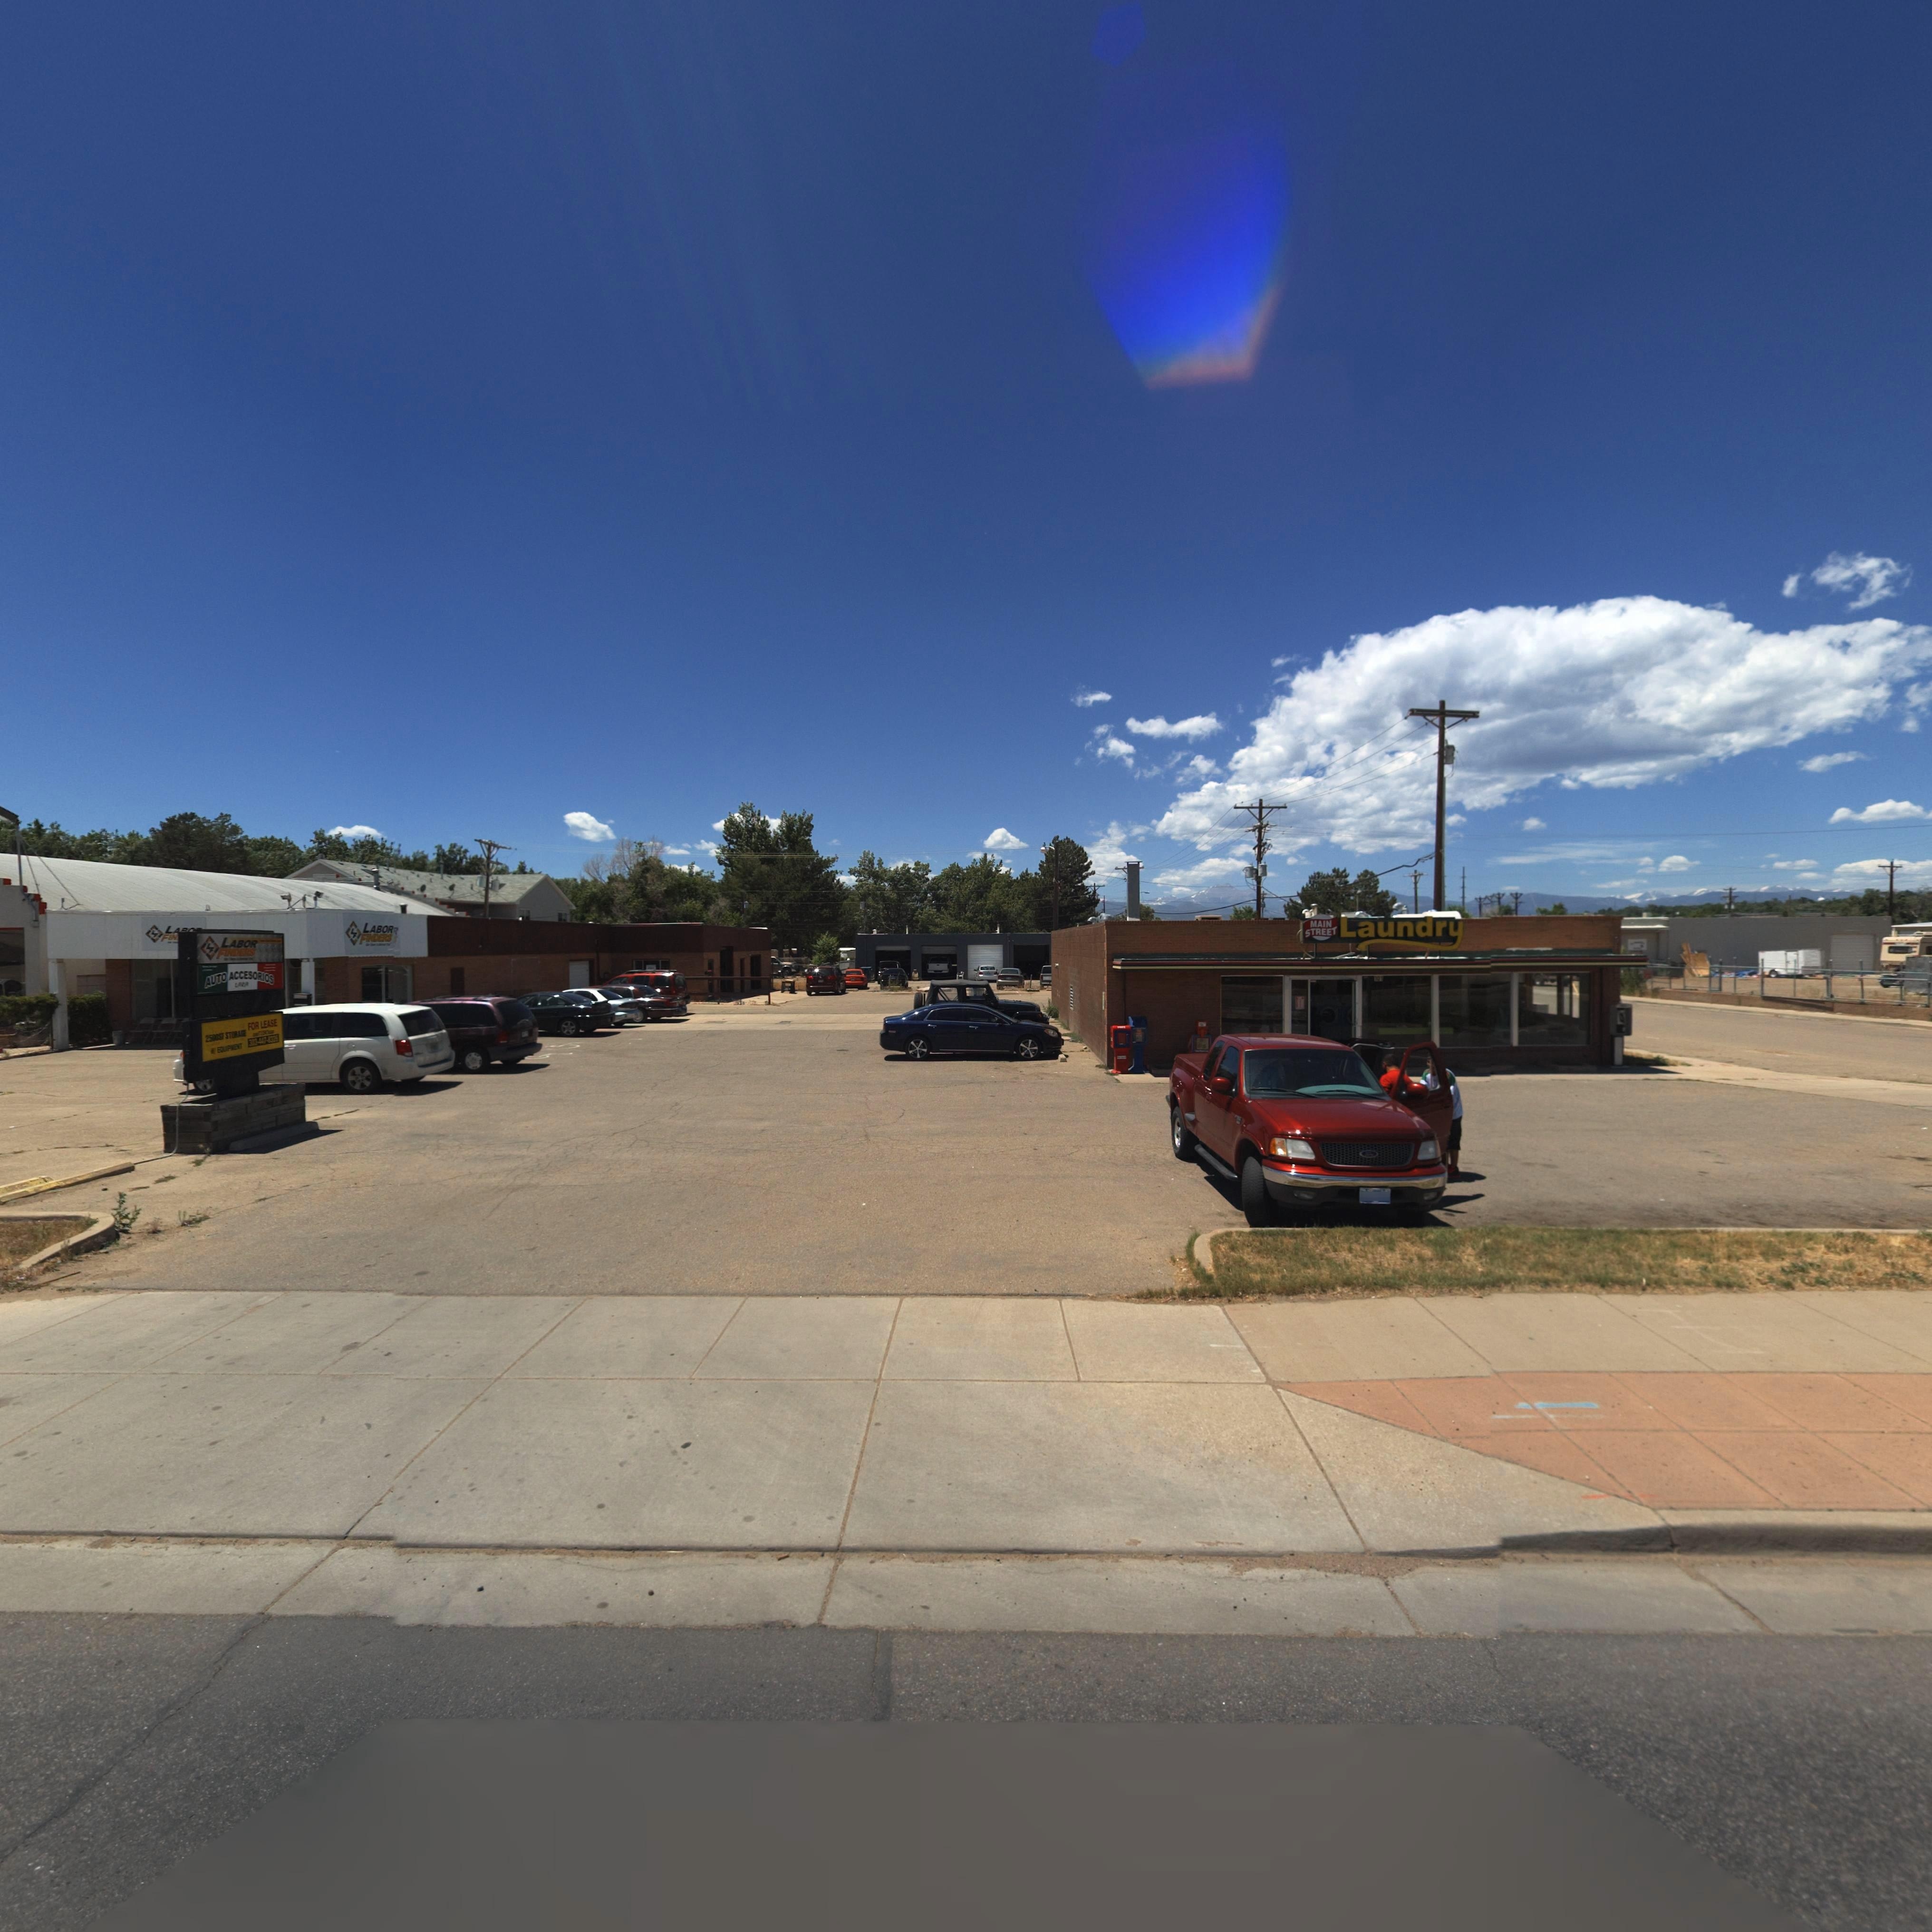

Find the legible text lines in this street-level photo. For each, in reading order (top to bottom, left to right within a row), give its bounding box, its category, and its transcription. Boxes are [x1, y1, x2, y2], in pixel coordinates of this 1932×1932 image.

[159, 933, 178, 942] BusinessName: FIN*
[219, 936, 258, 948] BusinessName: LABOR
[358, 933, 393, 945] BusinessName: FINDERS
[362, 921, 394, 933] BusinessName: LABOR
[1309, 919, 1332, 928] BusinessName: MAIN
[1304, 926, 1337, 938] BusinessName: STREET
[1340, 915, 1464, 942] BusinessName: Laundry
[215, 948, 256, 958] BusinessName: FINDERS
[203, 968, 274, 989] BusinessName: AUTO ACCESORIOS
[1372, 975, 1383, 982] StreetNumber: 101